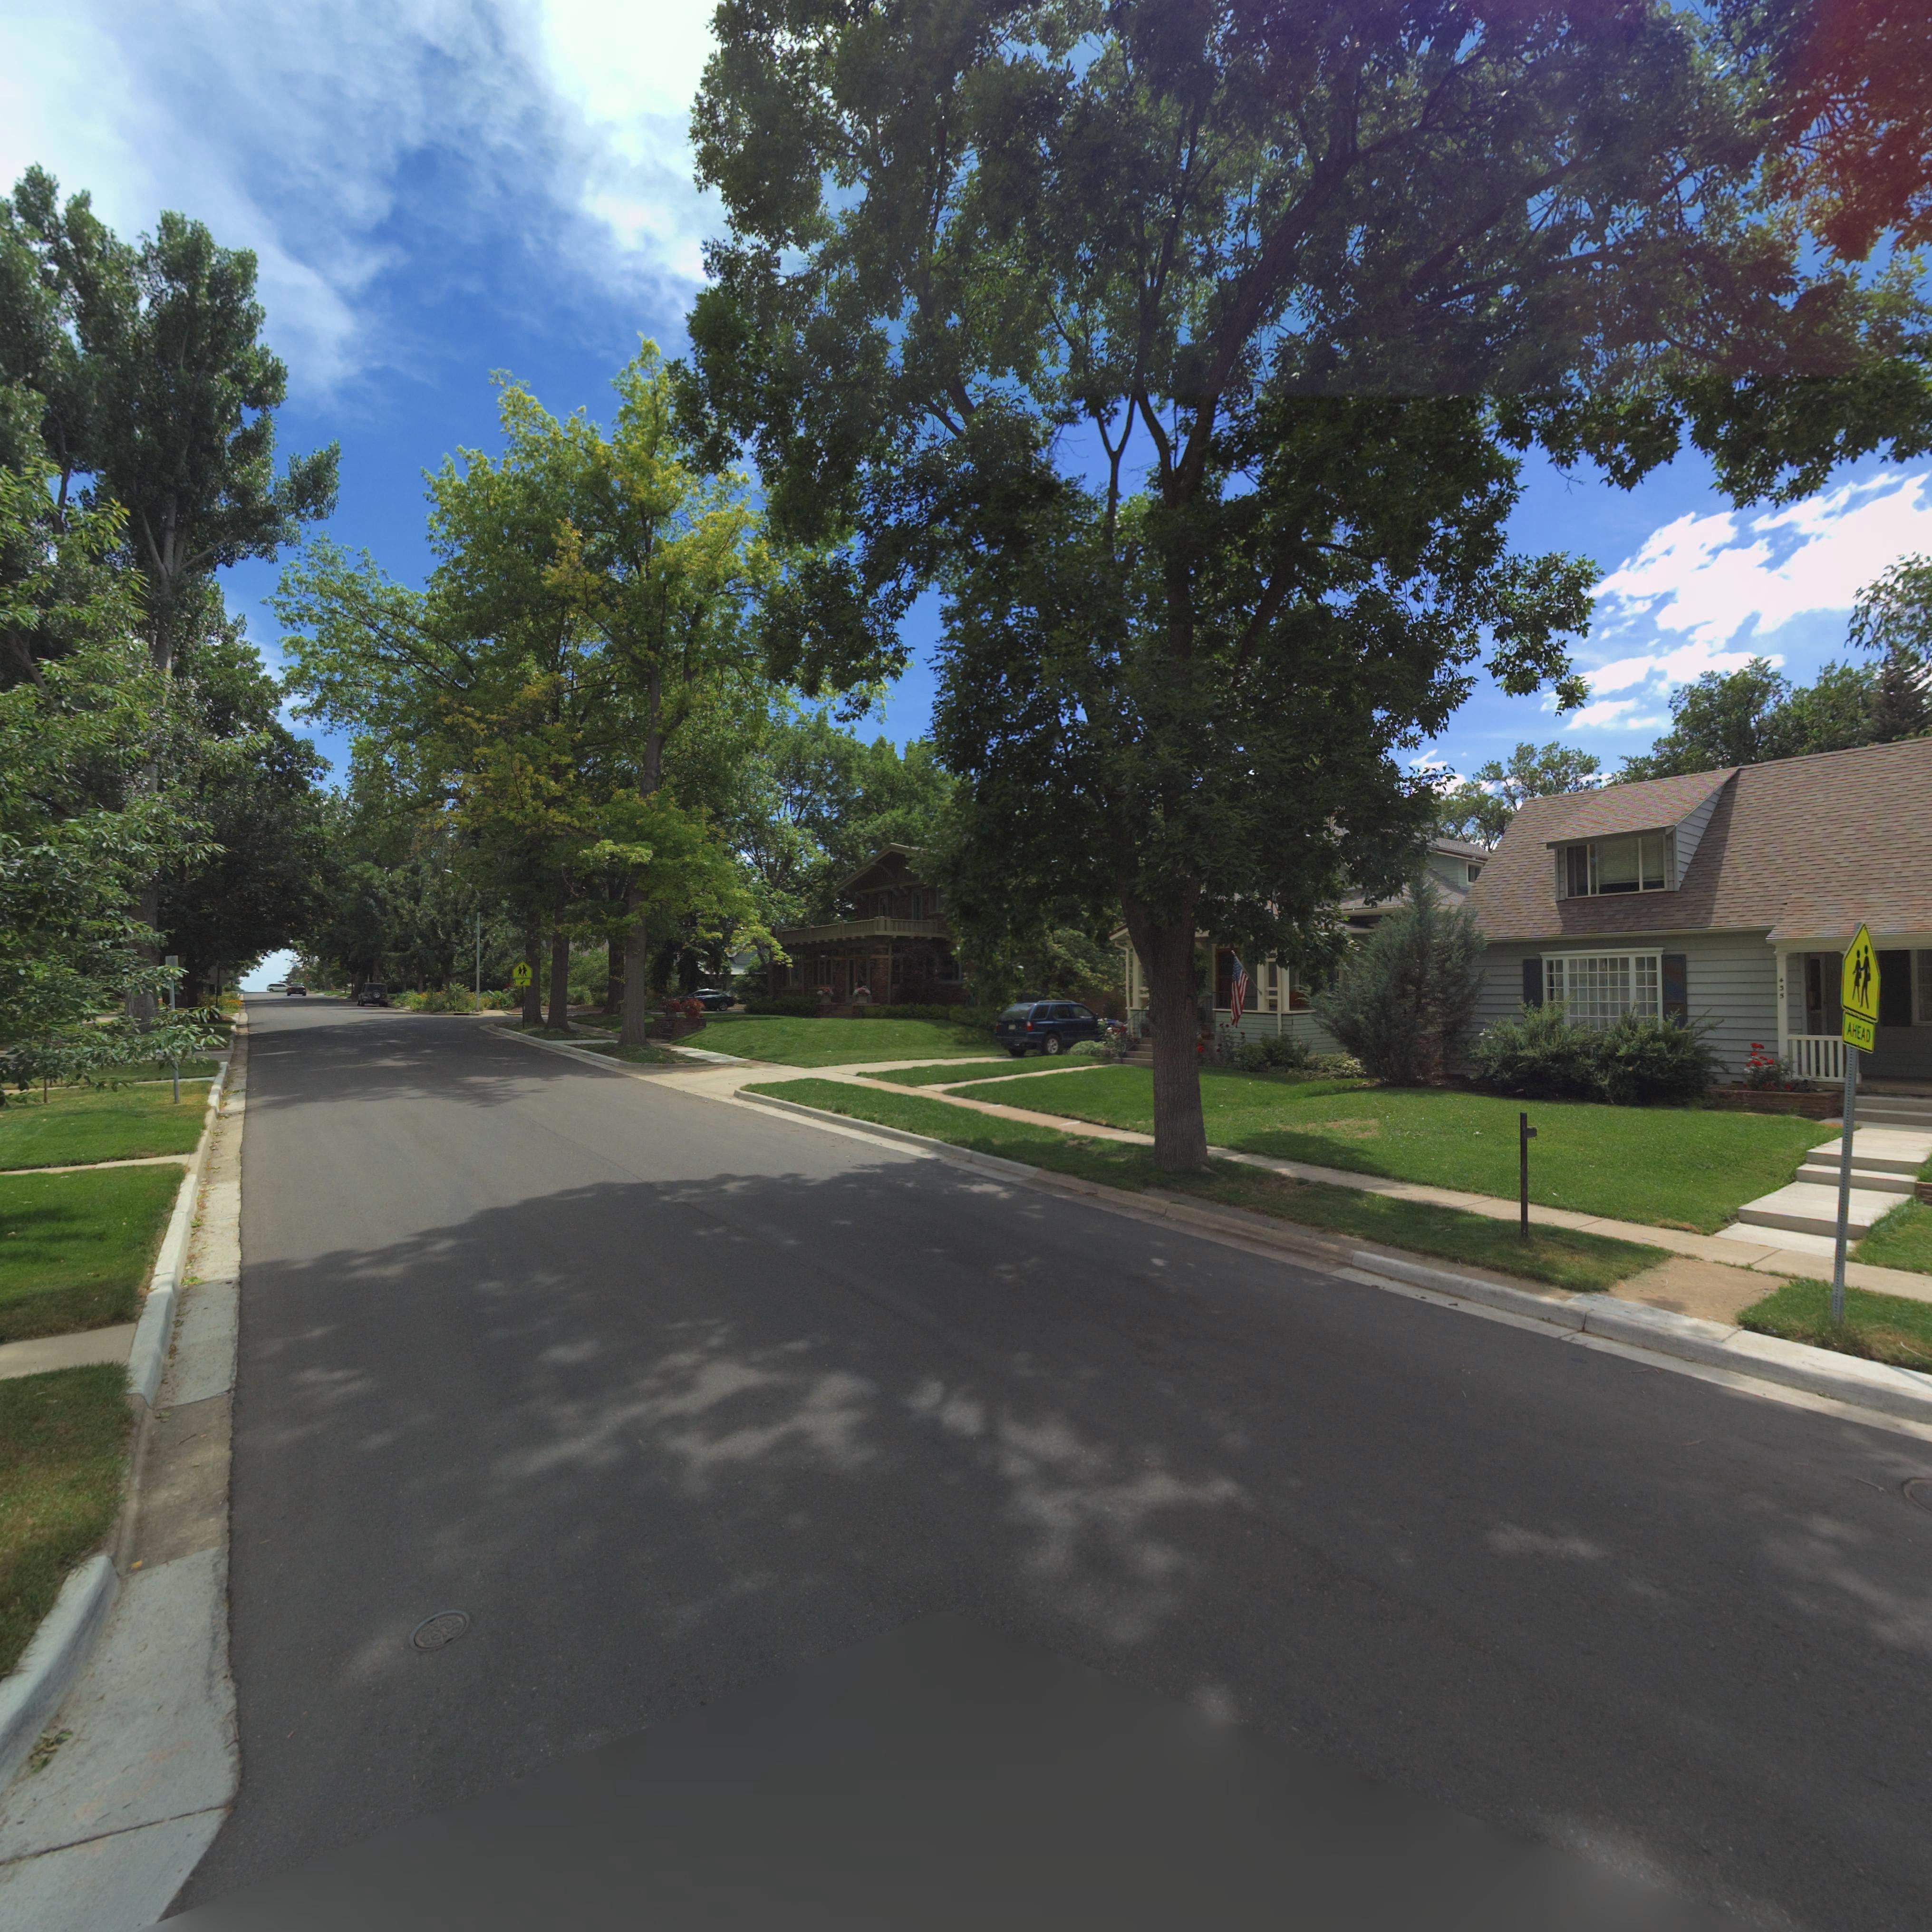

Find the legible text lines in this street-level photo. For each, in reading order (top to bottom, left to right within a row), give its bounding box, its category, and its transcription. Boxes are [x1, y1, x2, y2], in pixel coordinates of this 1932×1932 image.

[1778, 977, 1784, 999] StreetNumber: 435